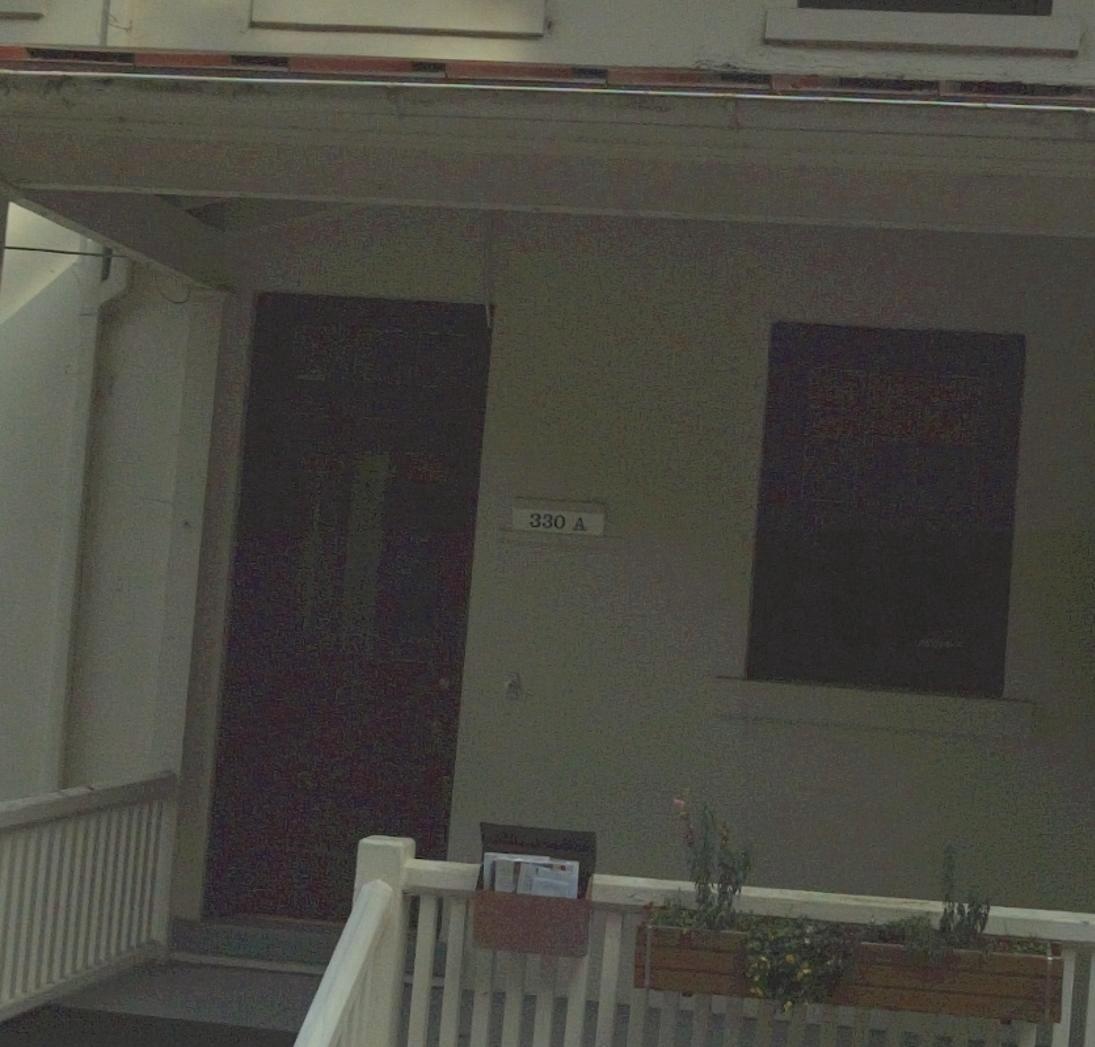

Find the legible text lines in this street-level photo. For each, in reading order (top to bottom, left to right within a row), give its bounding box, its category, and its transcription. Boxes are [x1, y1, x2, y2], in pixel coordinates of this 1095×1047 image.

[527, 511, 587, 533] StreetNumber: 330A